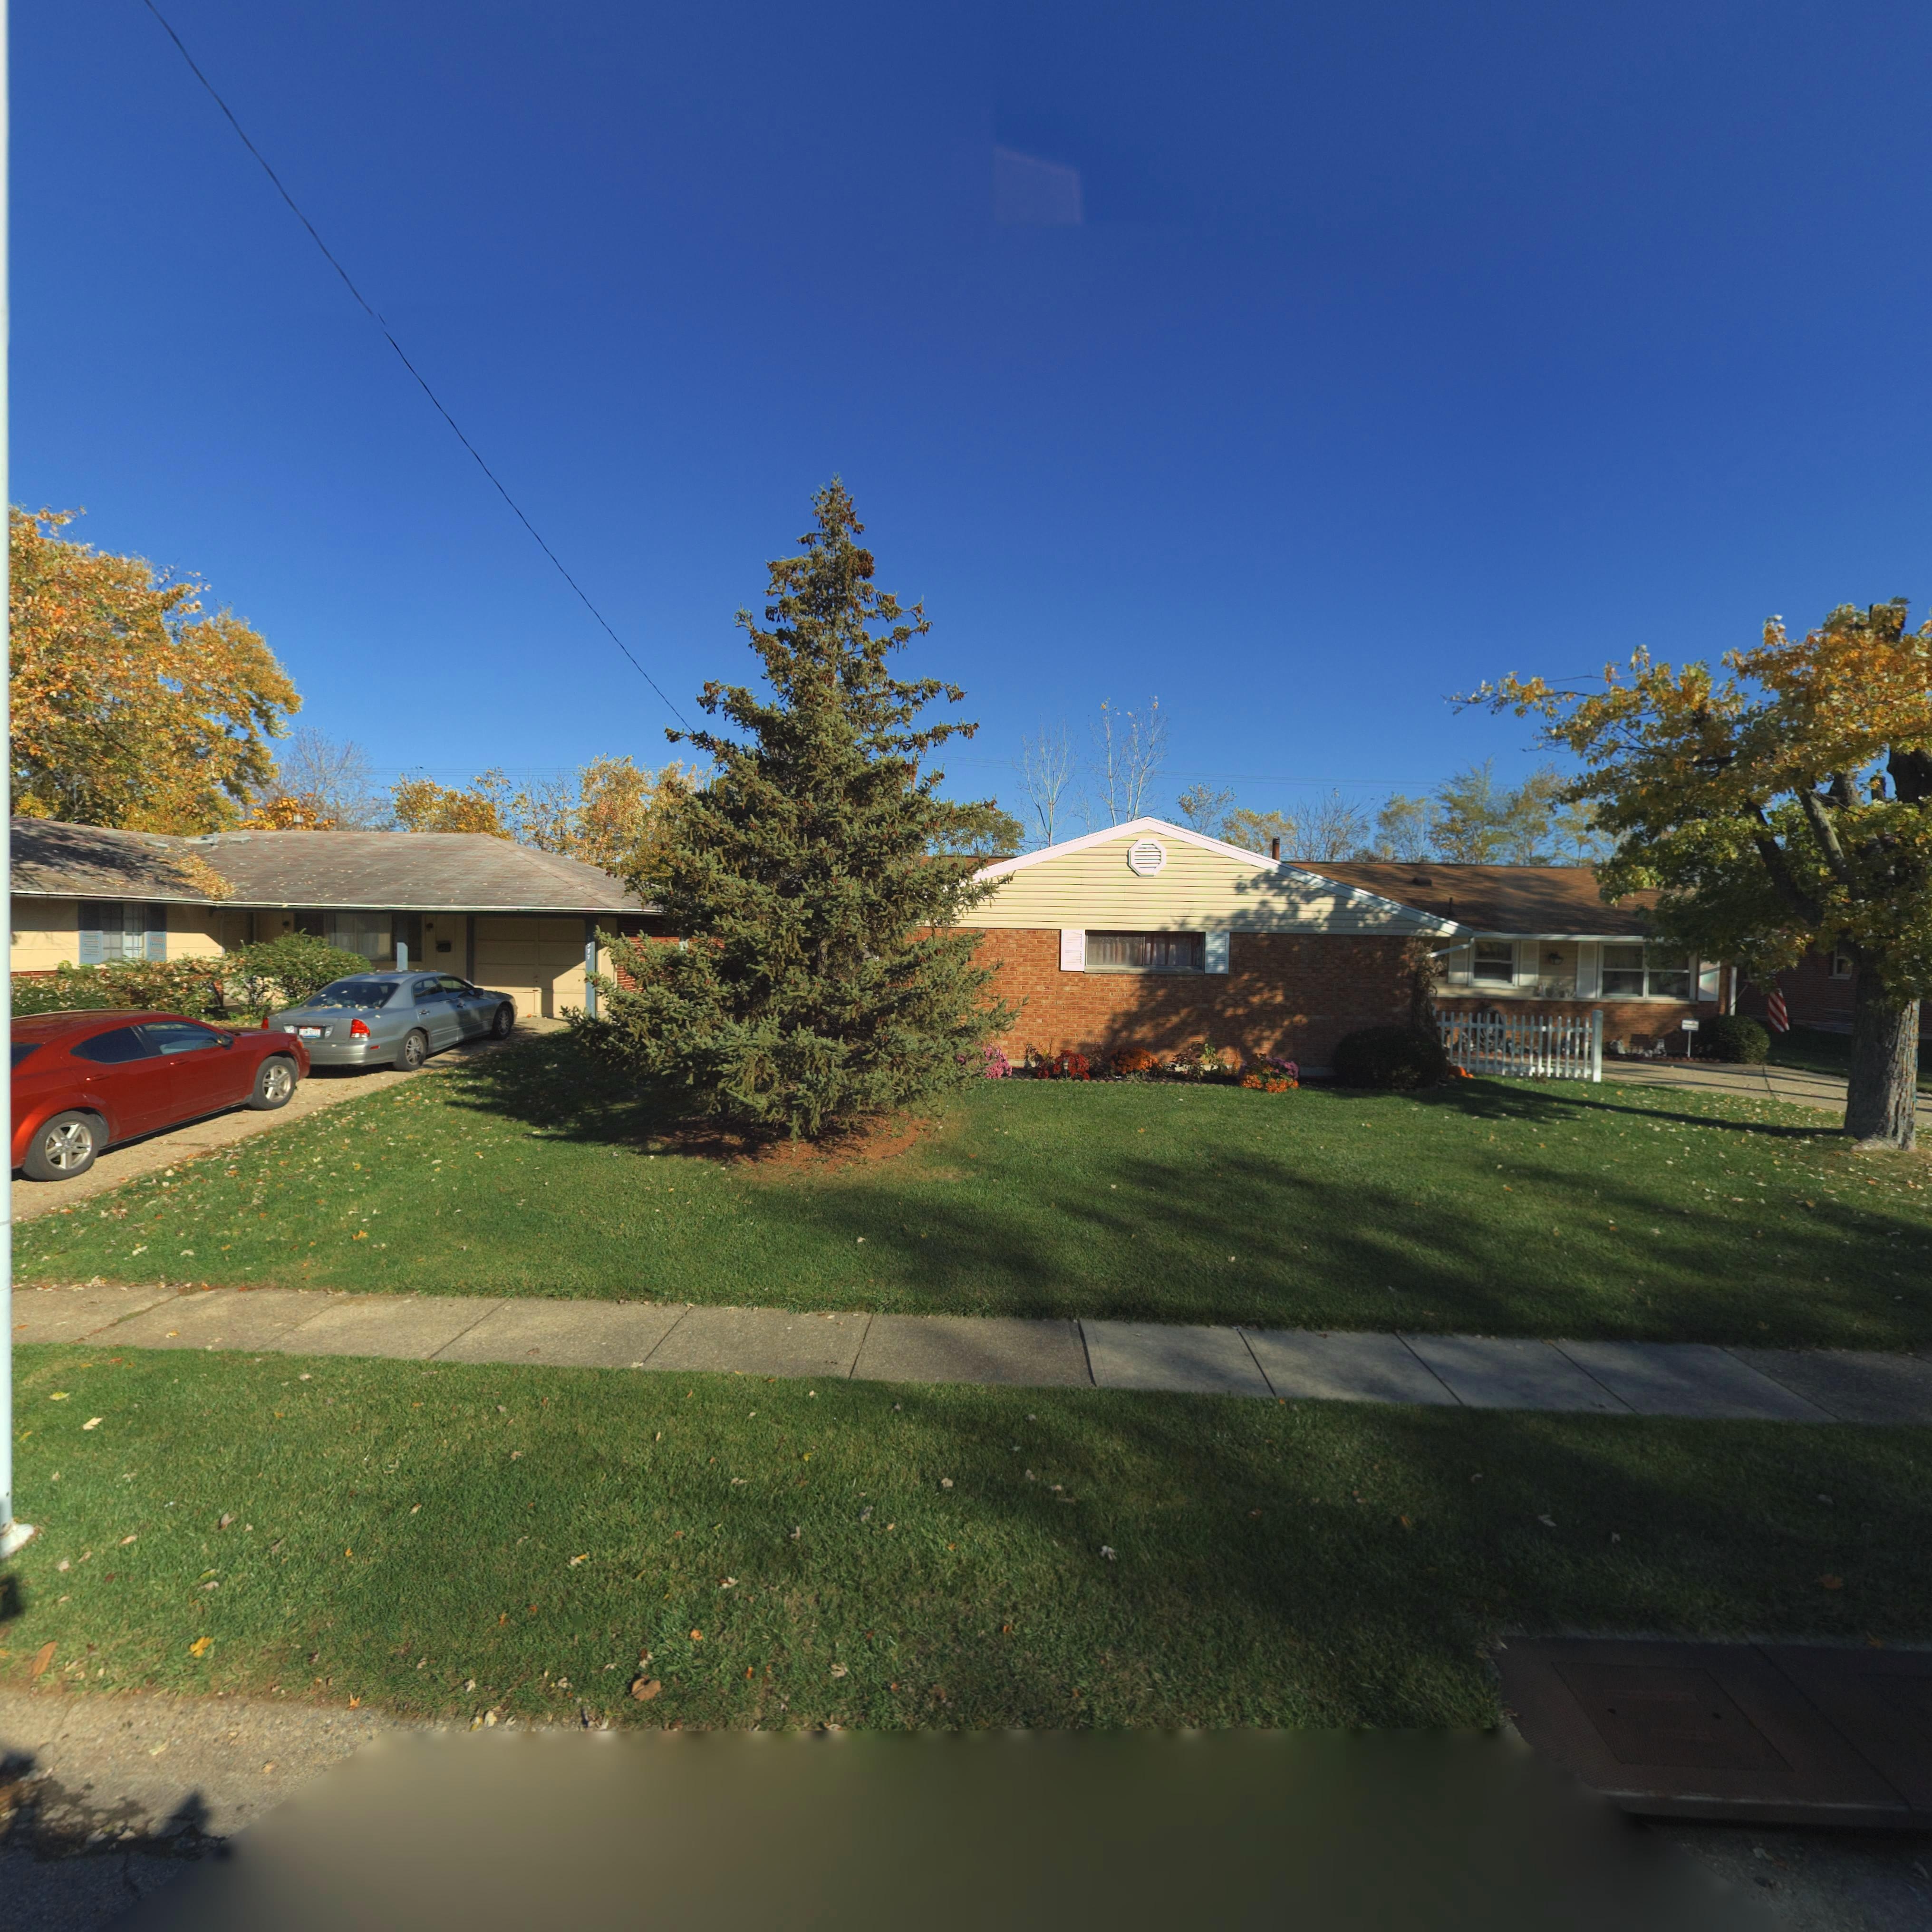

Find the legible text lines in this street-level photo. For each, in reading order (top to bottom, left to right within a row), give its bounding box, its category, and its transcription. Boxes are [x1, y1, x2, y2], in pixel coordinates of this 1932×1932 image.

[586, 934, 592, 961] StreetNumber: 7*77